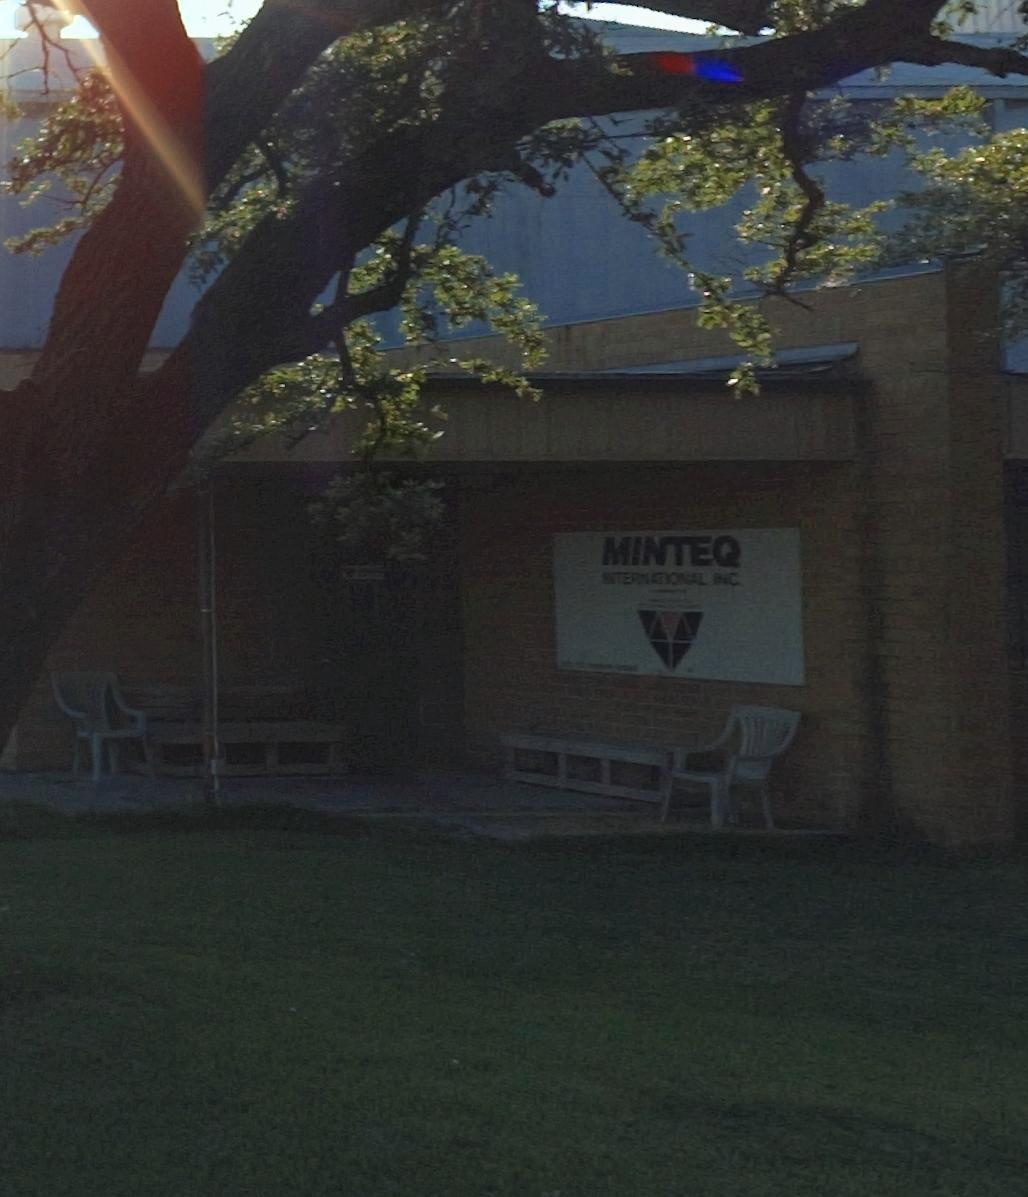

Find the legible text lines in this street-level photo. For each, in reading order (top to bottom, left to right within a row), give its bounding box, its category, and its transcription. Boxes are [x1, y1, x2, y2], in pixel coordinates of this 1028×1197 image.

[597, 531, 745, 572] BusinessName: MINTEQ
[599, 568, 745, 590] BusinessName: **TERNATIONAL INC.